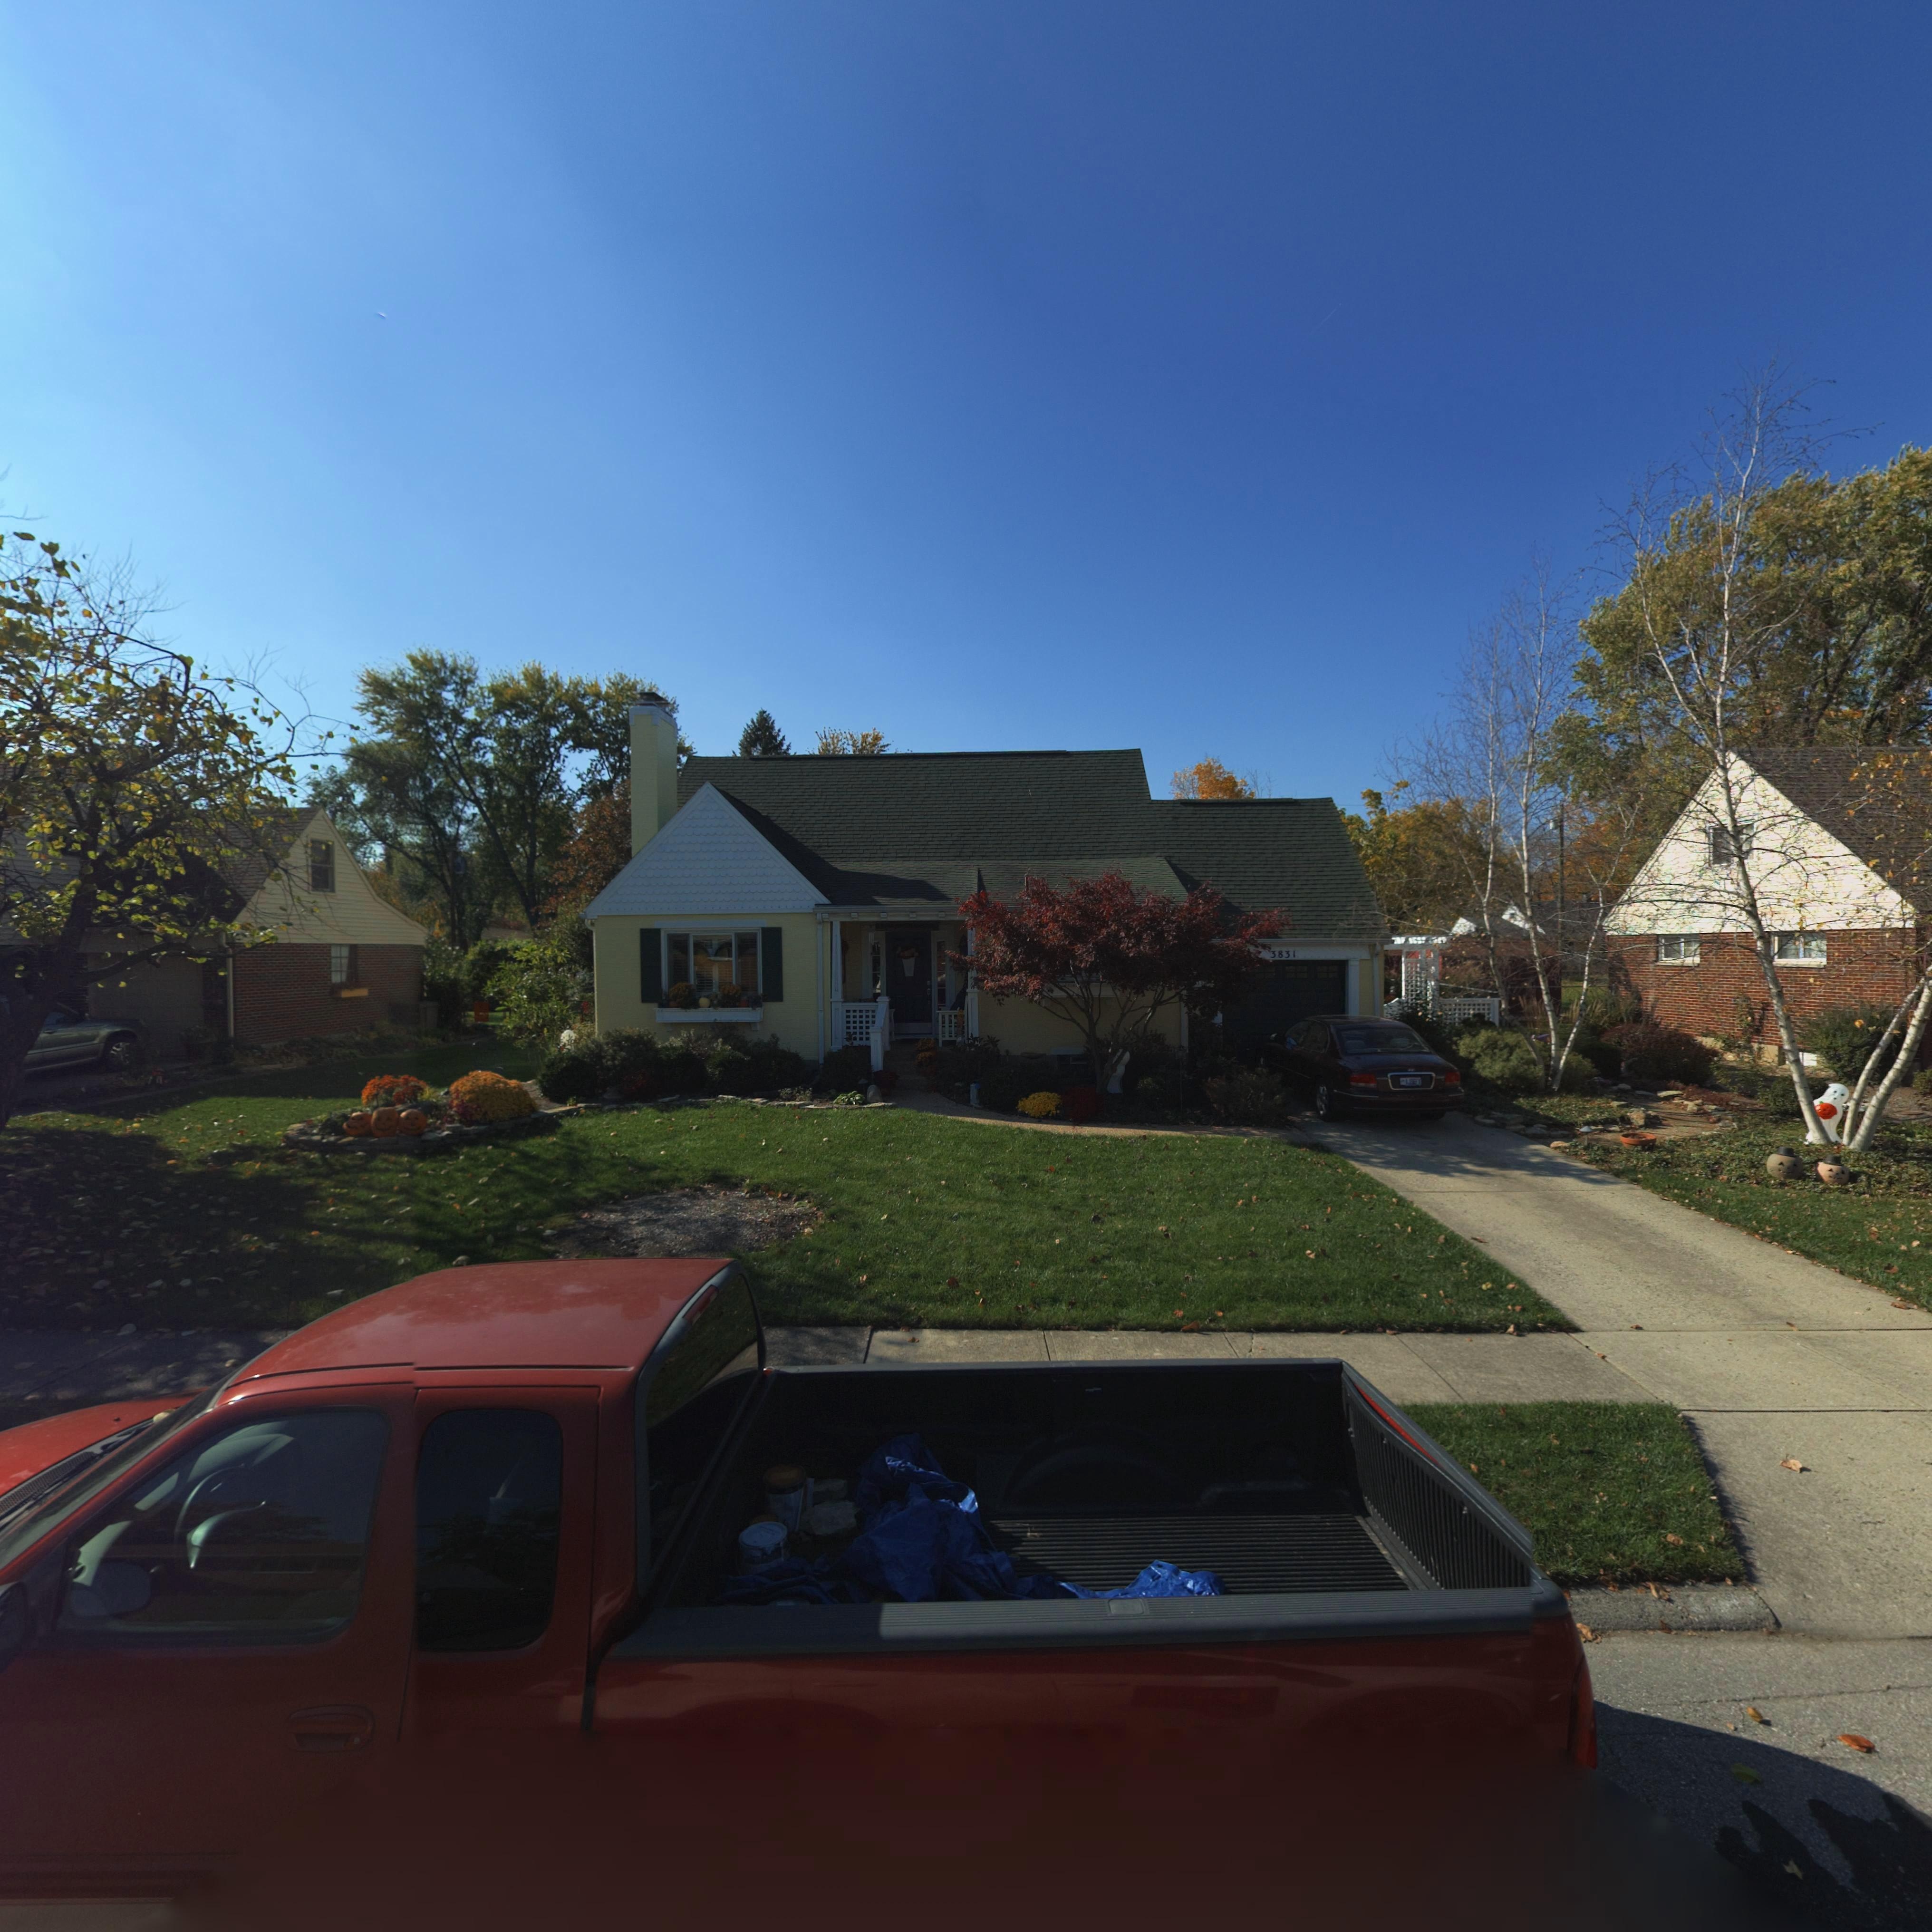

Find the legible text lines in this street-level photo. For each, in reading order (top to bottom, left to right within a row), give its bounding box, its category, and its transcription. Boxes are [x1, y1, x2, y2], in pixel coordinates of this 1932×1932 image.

[1269, 950, 1296, 958] StreetNumber: 3831
[1405, 1078, 1422, 1085] None: AJ****